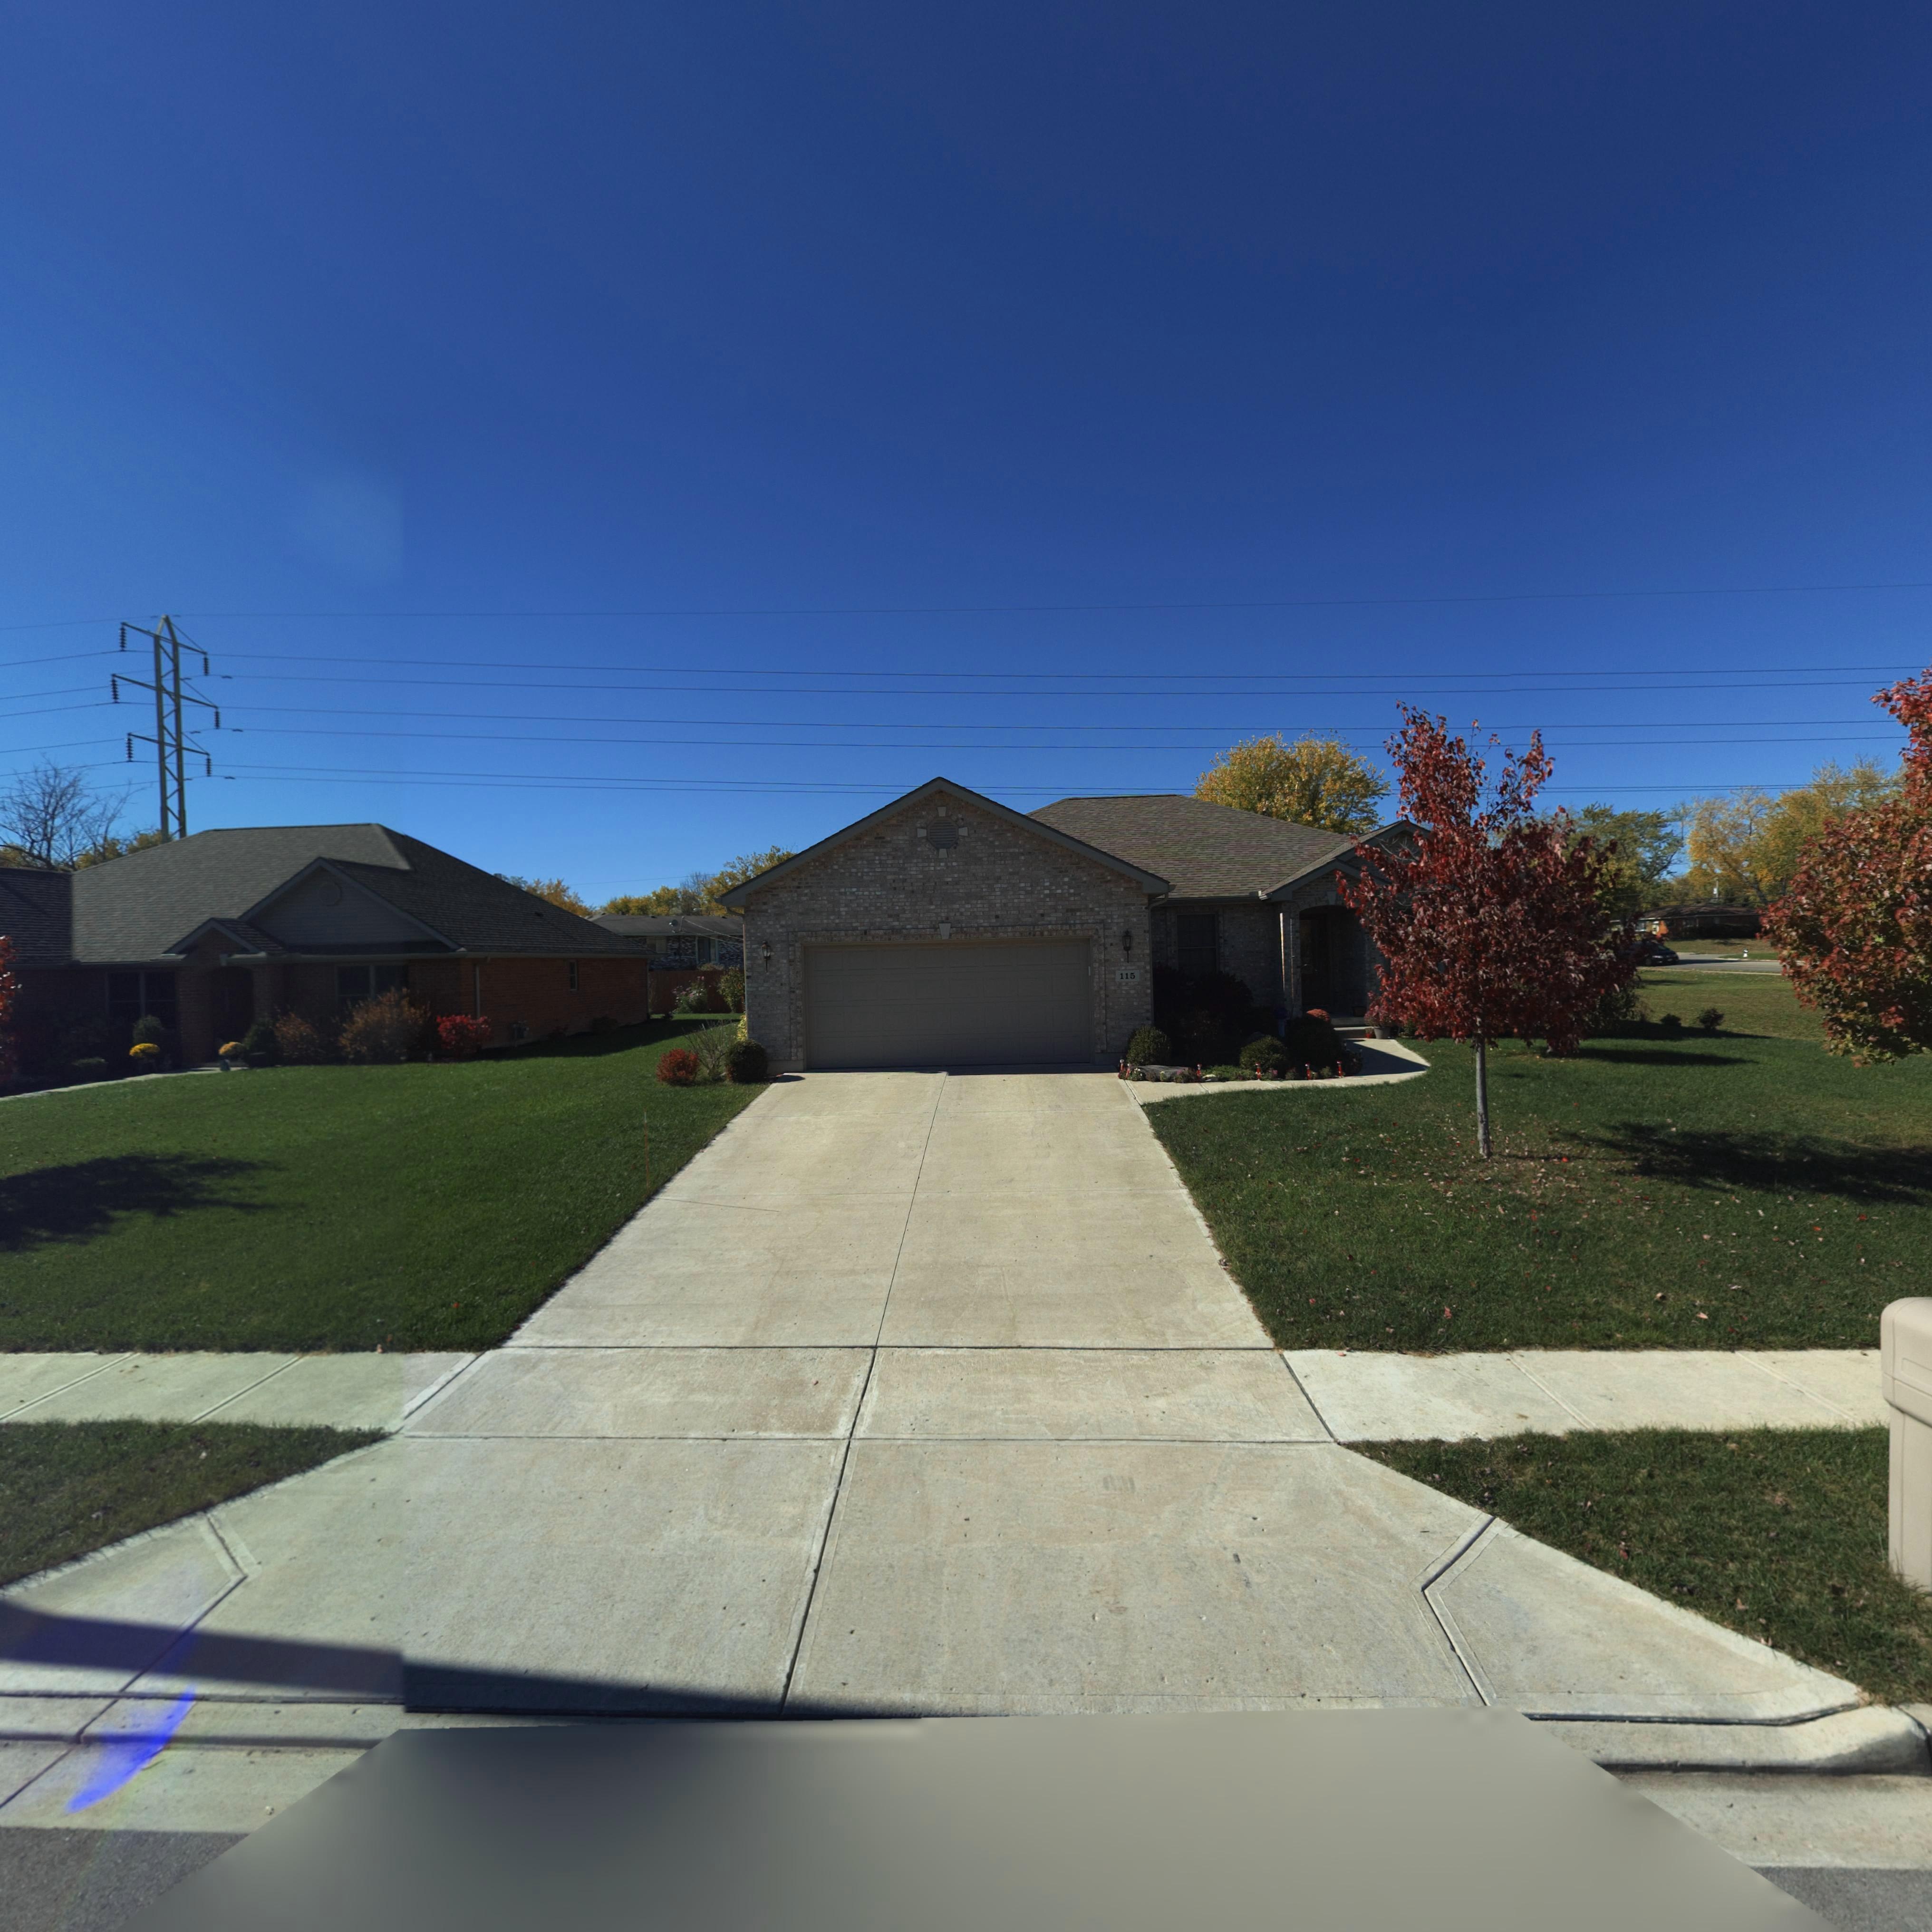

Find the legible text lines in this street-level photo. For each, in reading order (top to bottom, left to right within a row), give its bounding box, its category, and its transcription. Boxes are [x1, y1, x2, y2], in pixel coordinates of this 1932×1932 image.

[1119, 972, 1136, 980] StreetNumber: 115